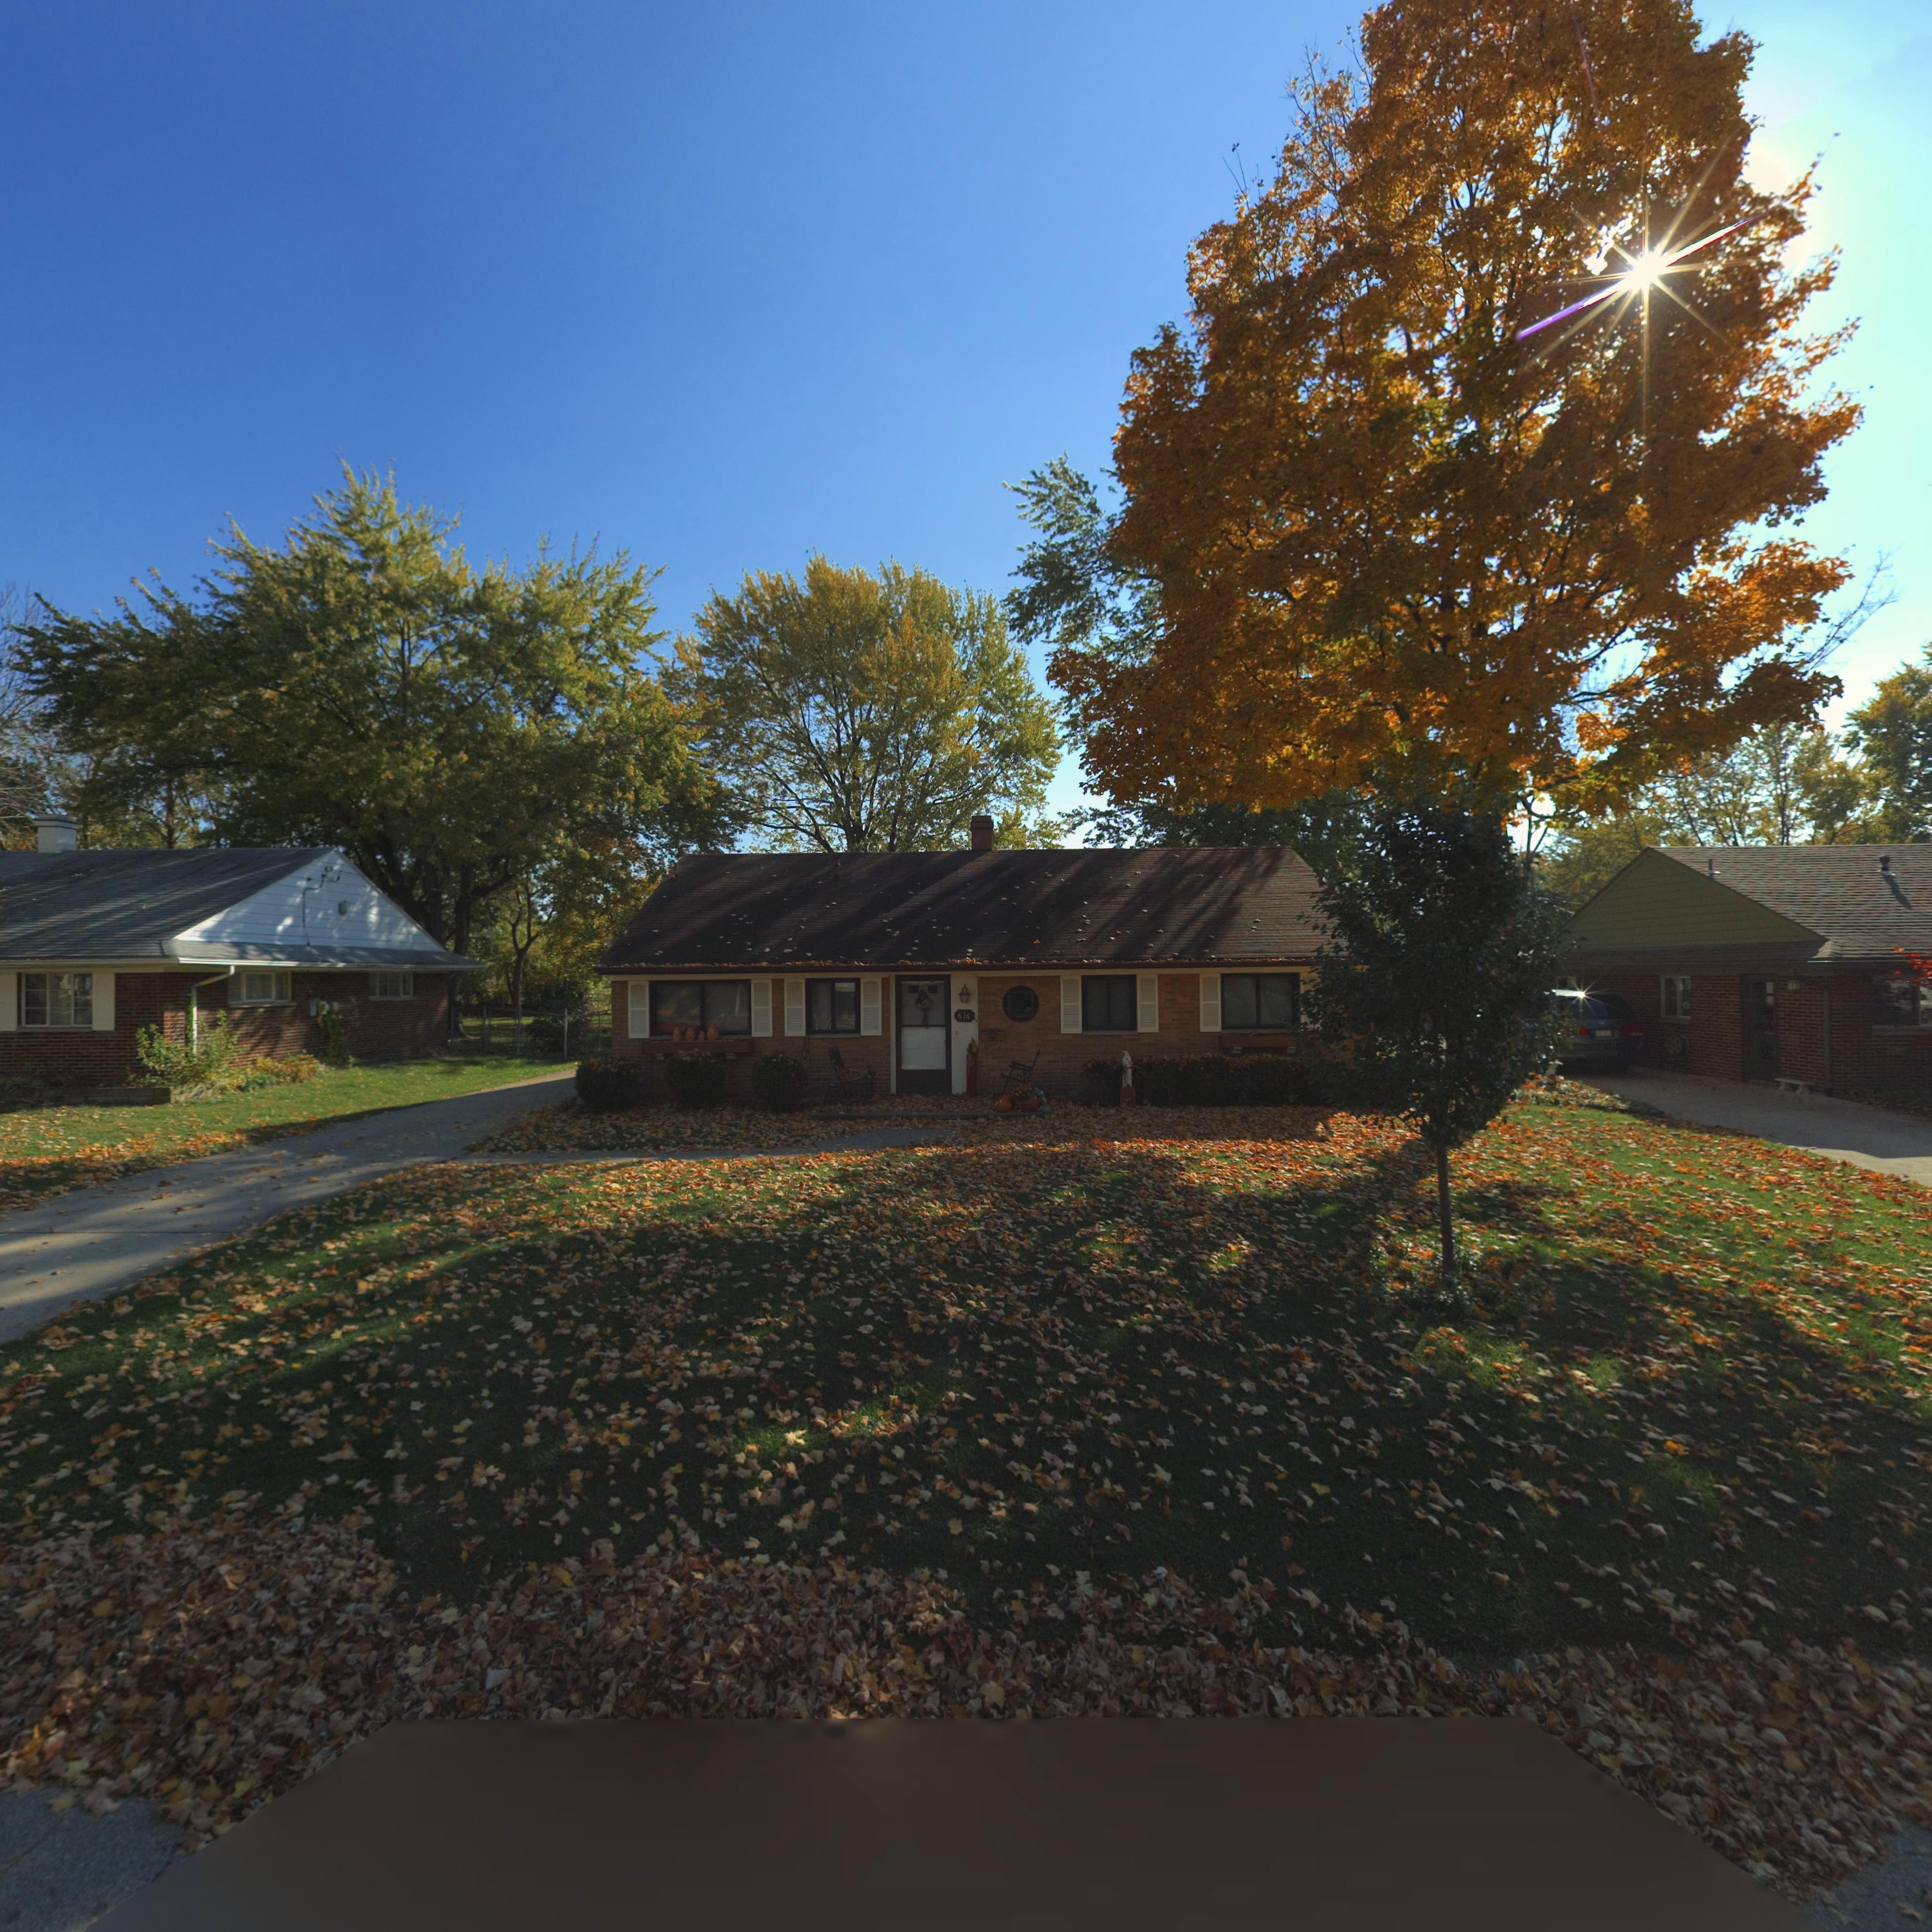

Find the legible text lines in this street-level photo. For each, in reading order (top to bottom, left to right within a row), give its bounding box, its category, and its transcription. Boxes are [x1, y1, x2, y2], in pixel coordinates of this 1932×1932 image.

[957, 1012, 971, 1019] StreetNumber: 616